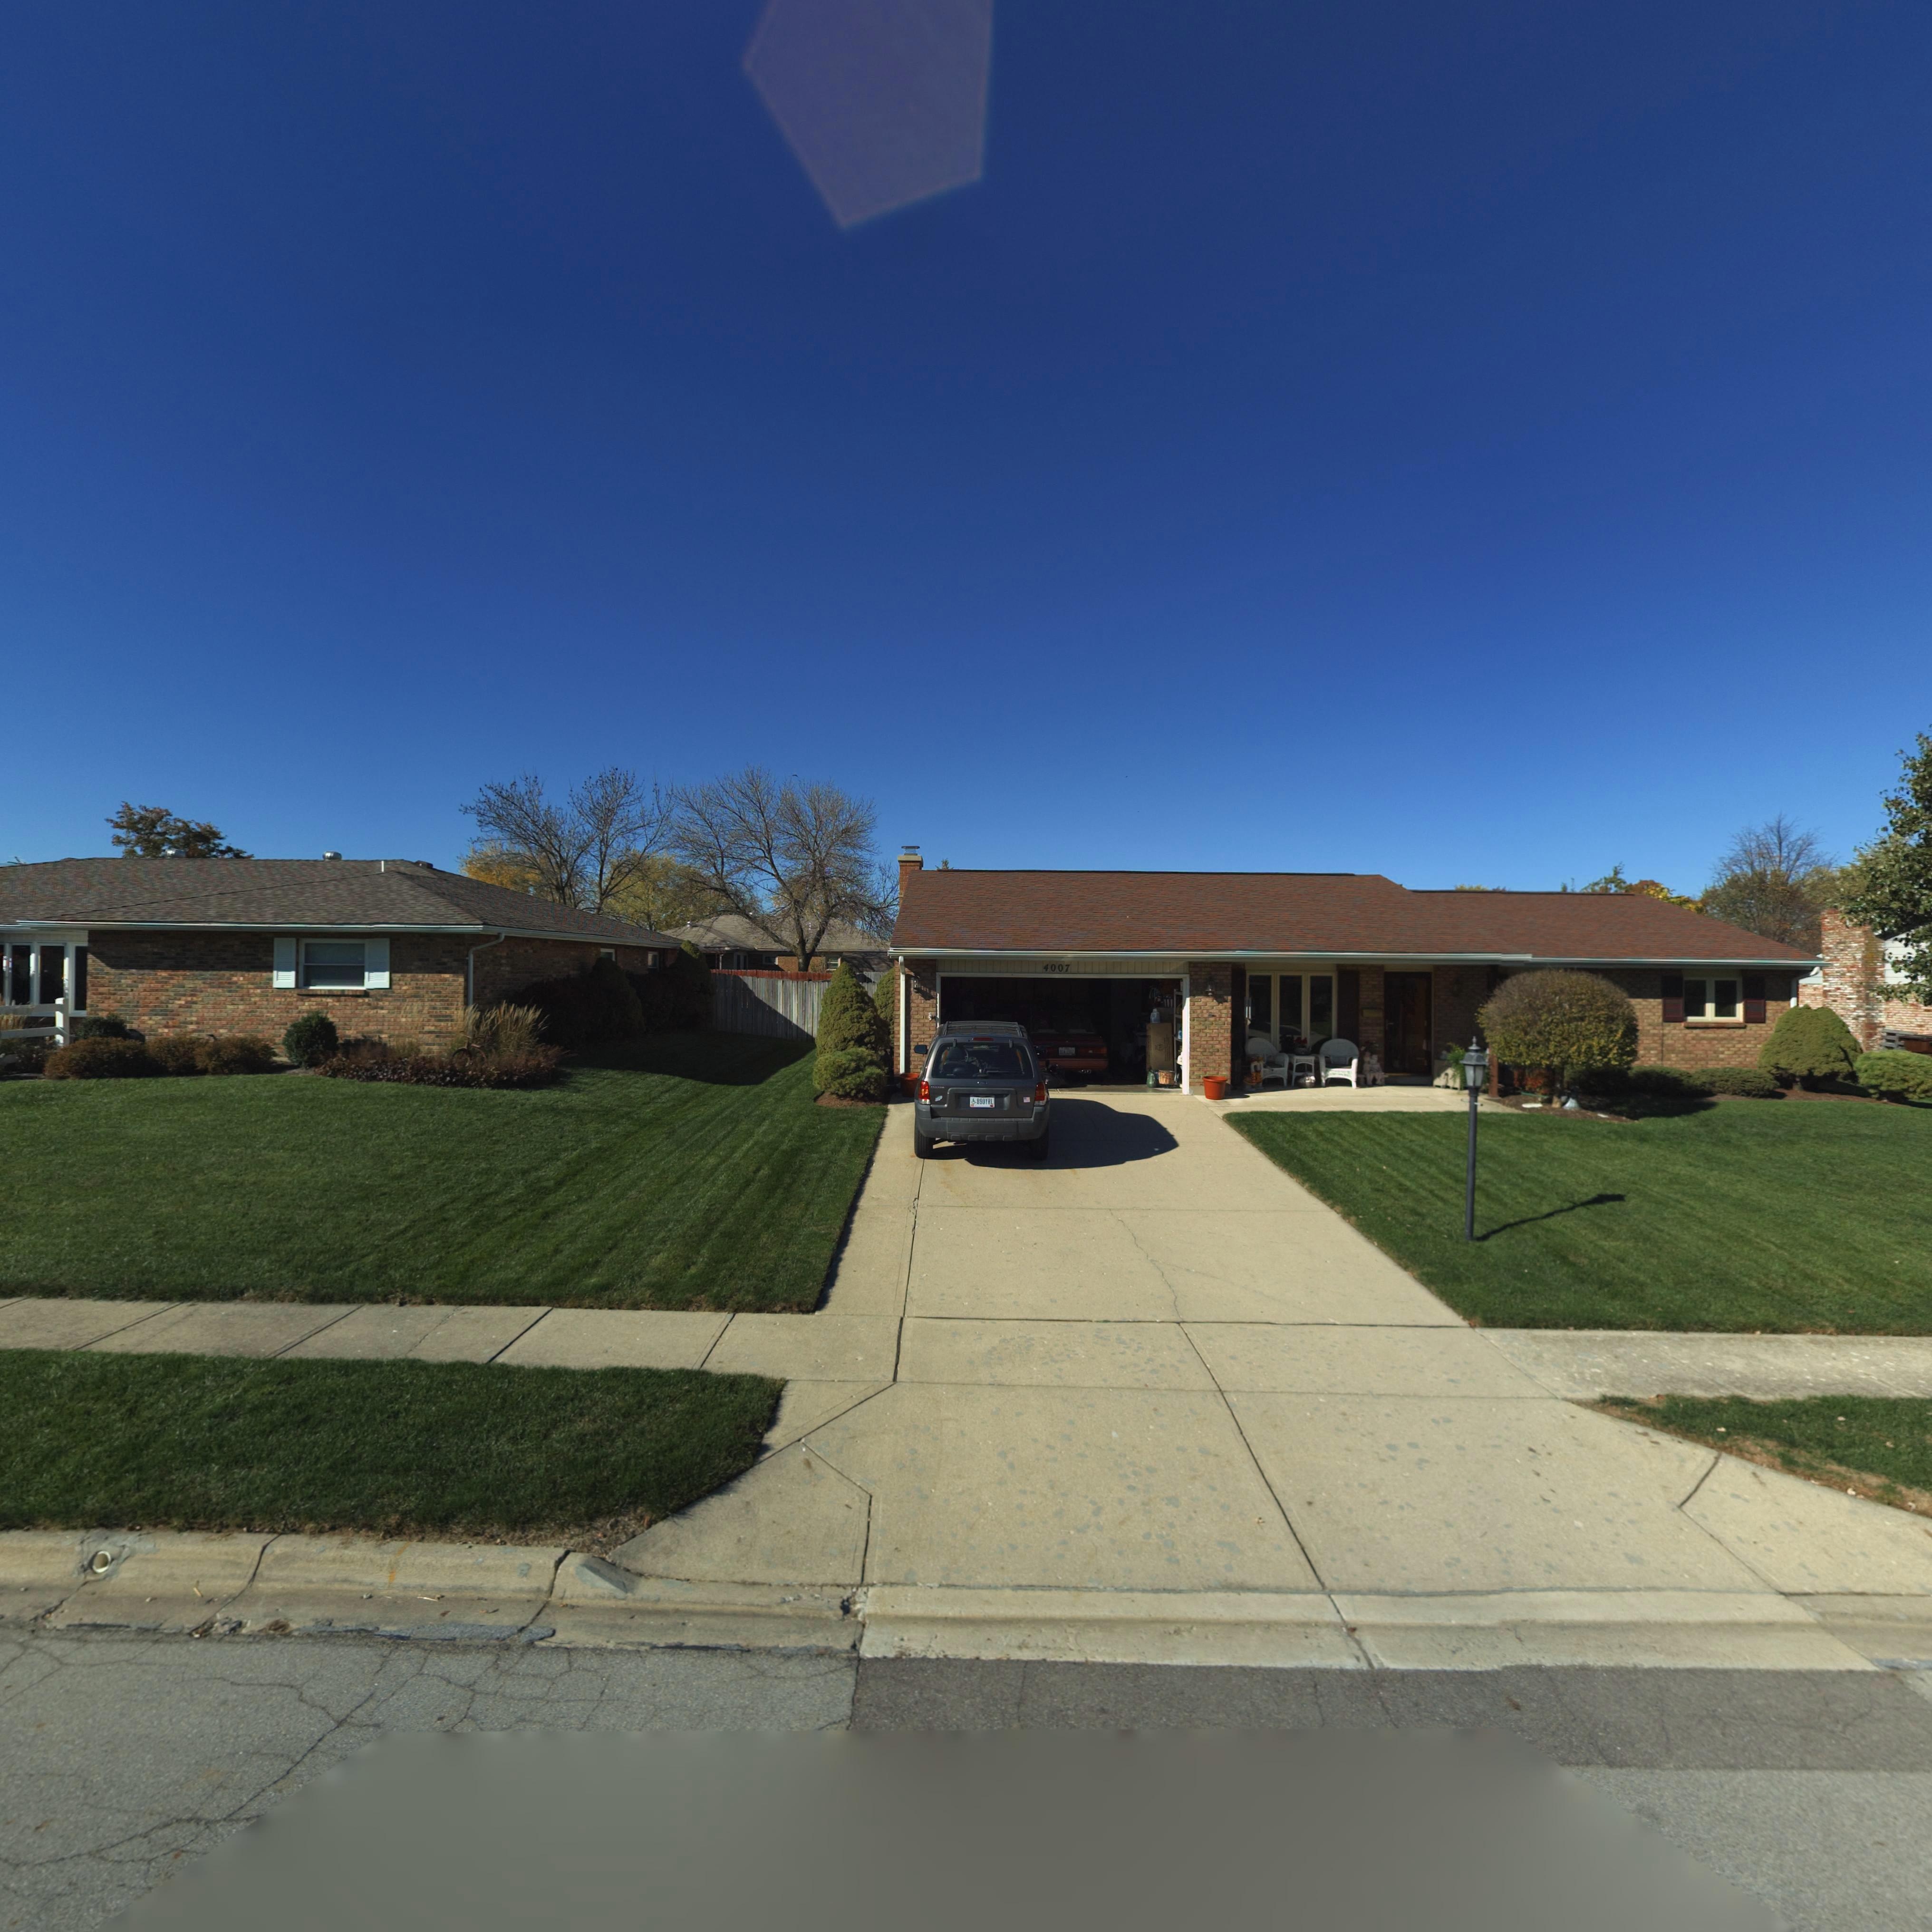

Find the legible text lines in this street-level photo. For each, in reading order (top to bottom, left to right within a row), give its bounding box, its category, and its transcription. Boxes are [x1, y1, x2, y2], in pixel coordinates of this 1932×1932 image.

[1043, 963, 1071, 972] StreetNumber: 4007